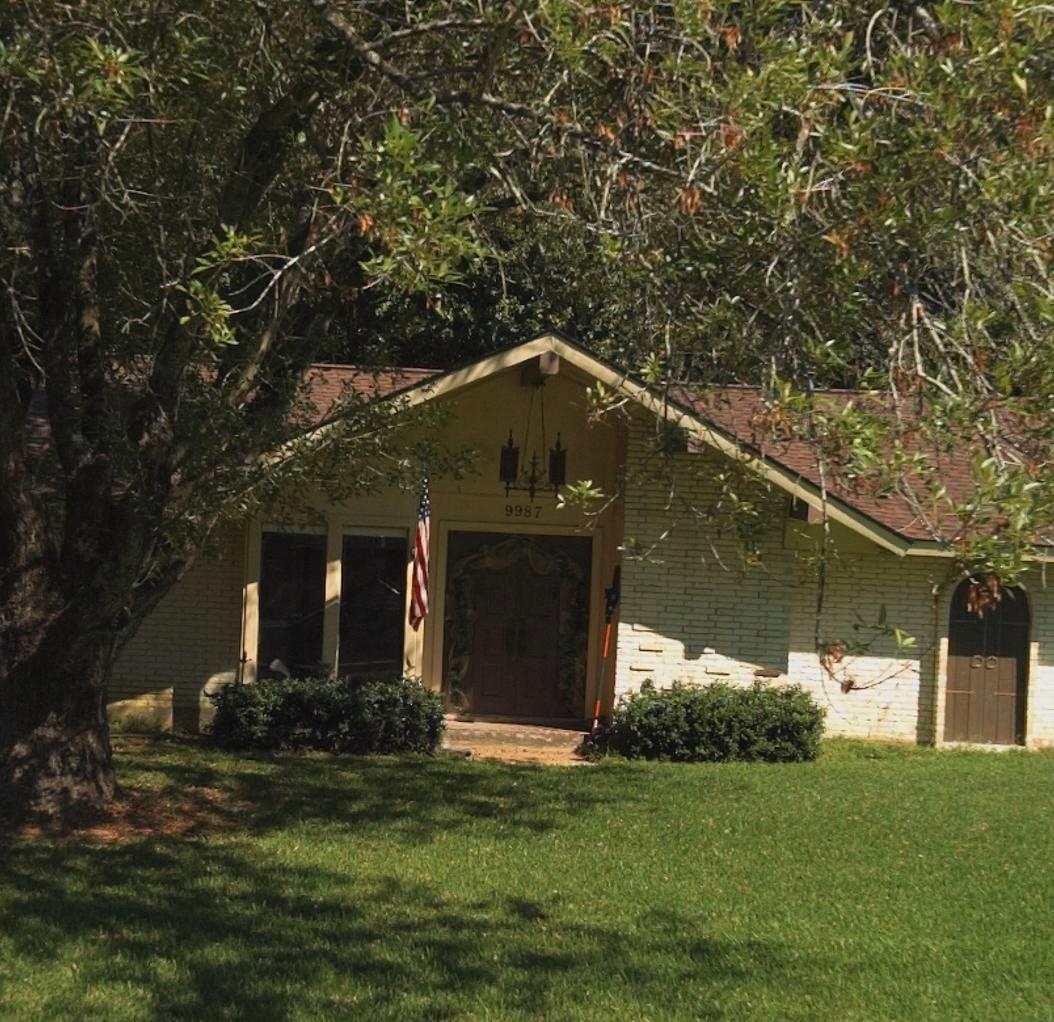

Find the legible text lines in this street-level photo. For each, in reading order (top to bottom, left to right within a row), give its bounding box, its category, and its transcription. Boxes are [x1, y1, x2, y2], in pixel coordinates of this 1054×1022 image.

[503, 503, 543, 519] StreetNumber: 9987